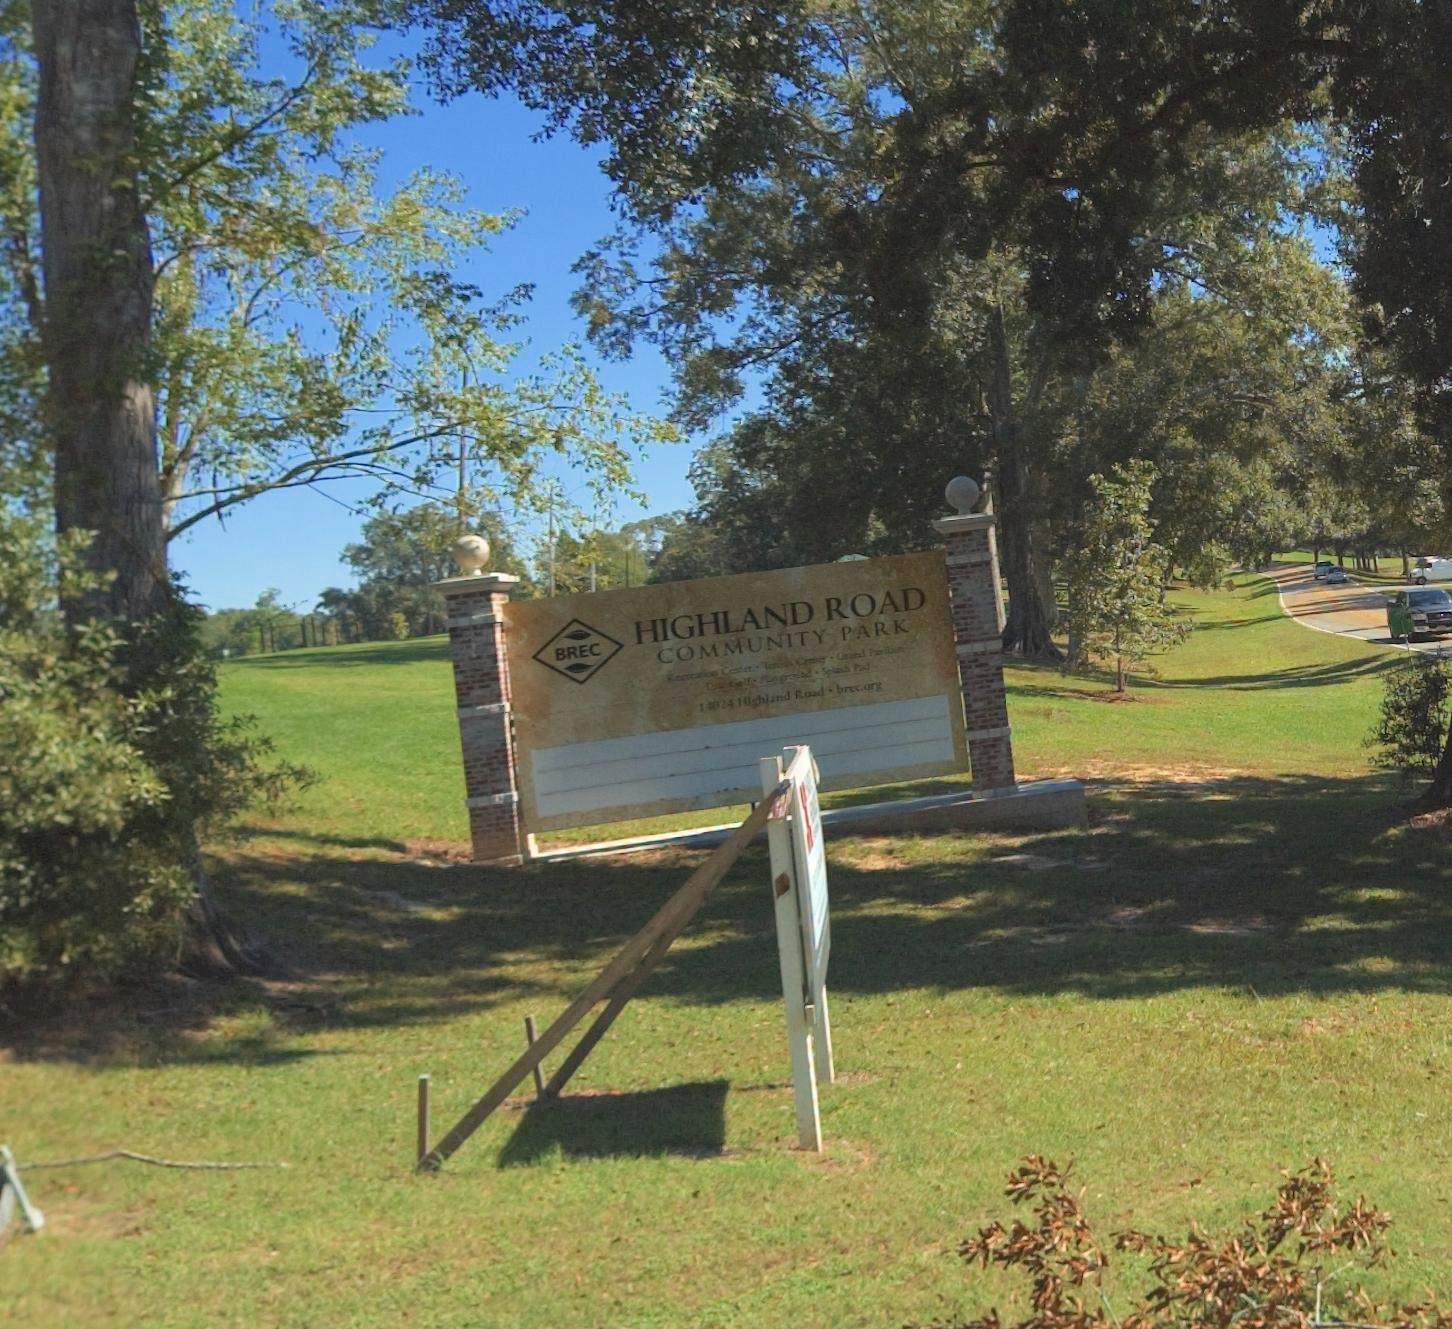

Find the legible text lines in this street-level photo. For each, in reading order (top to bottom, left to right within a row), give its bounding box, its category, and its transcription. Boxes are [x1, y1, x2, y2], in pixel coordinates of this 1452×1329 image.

[631, 583, 929, 648] BusinessName: HIGHLAND ROAD
[553, 641, 602, 663] None: BREC
[655, 617, 912, 667] BusinessName: COMMUNITY PARK
[697, 697, 735, 714] StreetNumber: 14024
[735, 682, 825, 712] StreetName: Highland Road
[835, 680, 886, 697] None: brec.org